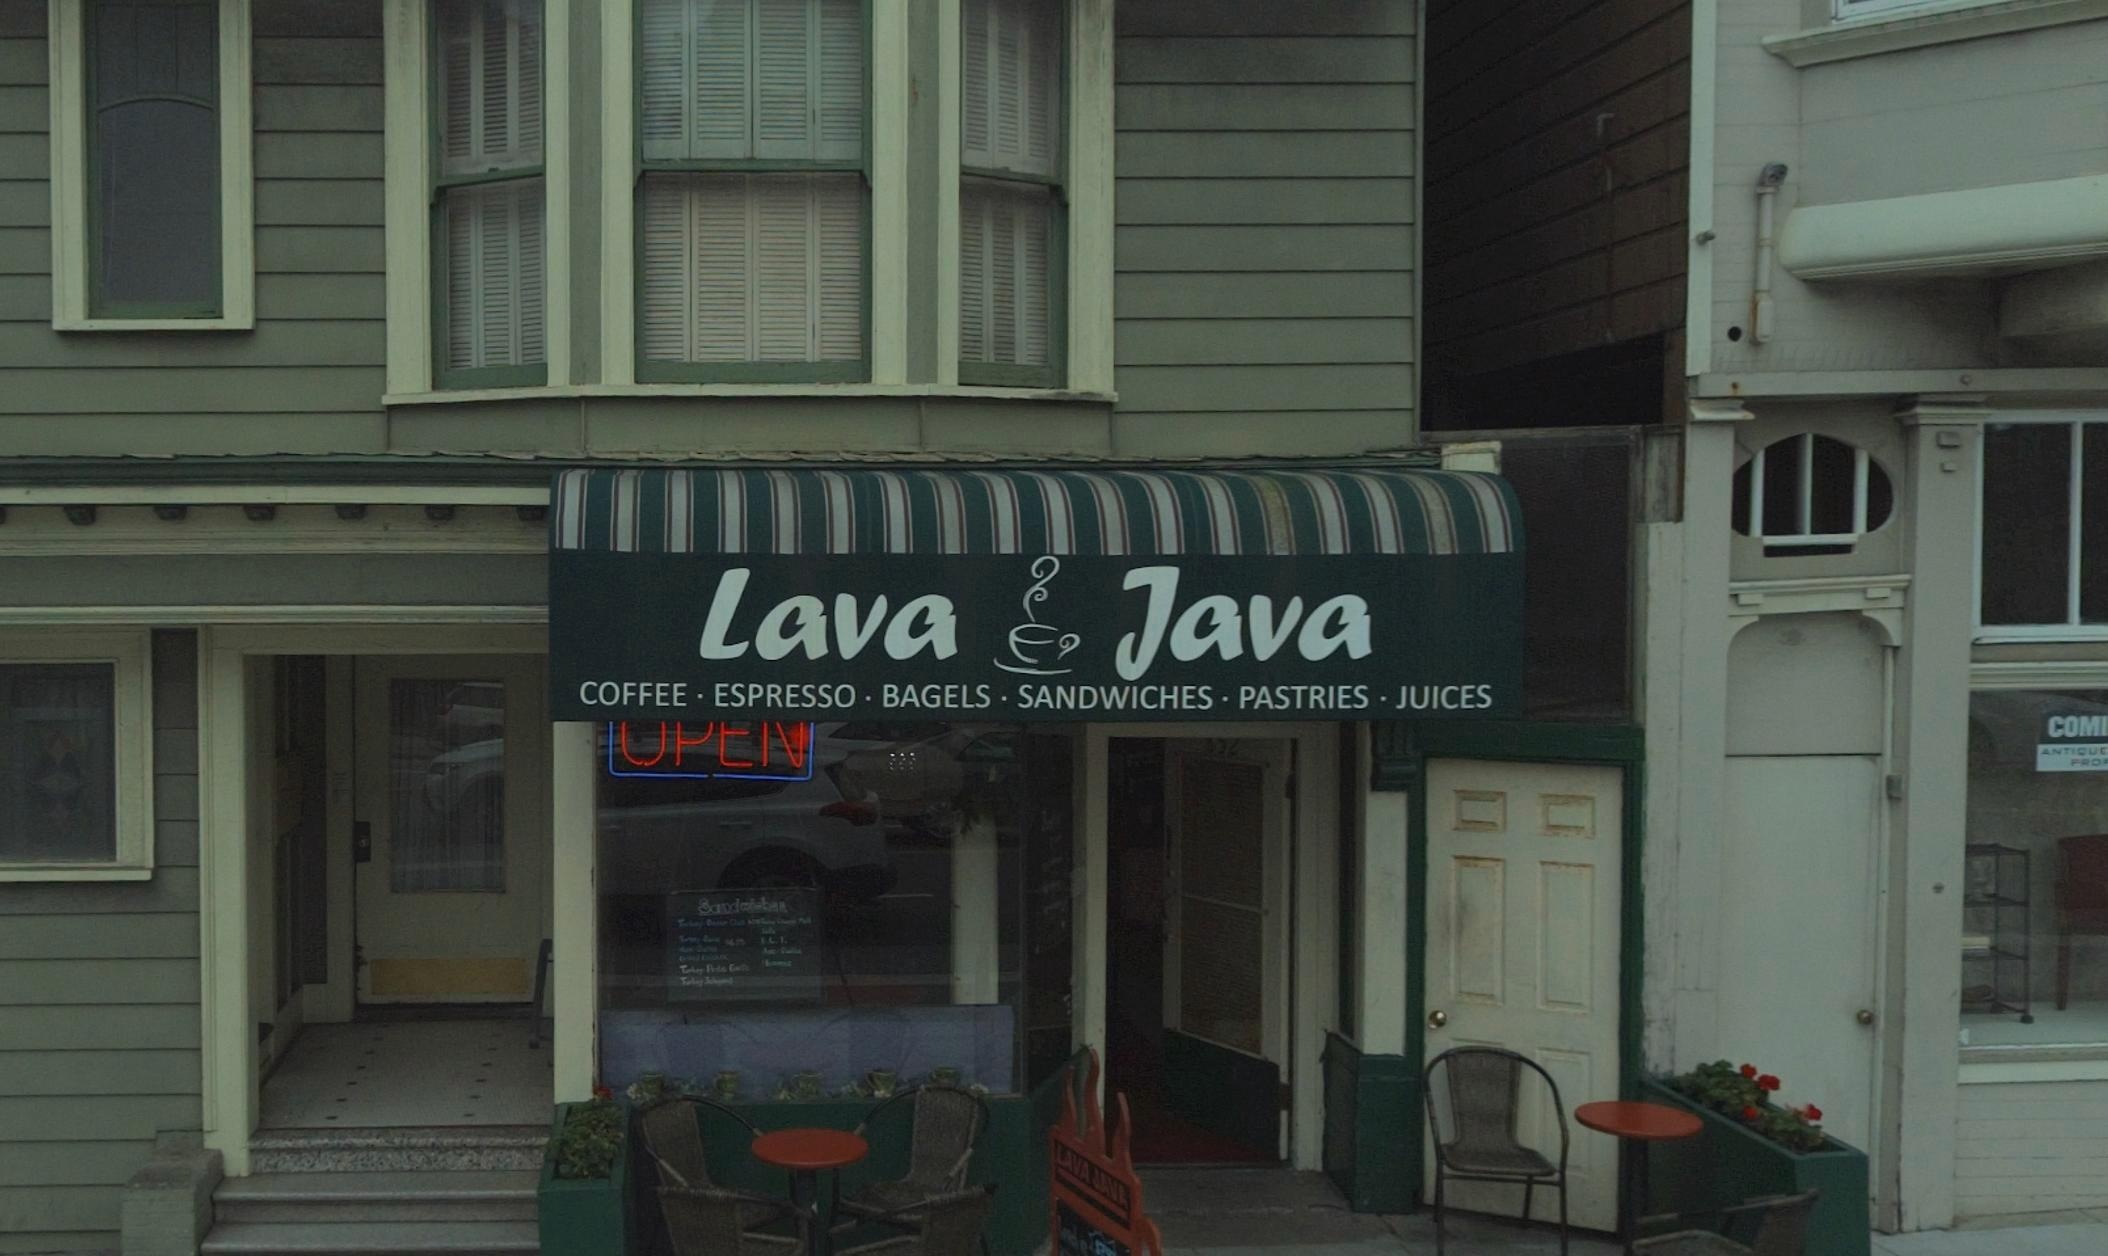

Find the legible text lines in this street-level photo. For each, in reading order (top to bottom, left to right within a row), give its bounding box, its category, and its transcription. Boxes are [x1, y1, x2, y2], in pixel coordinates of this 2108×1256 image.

[698, 563, 1377, 682] BusinessName: Lava Java
[578, 678, 1494, 712] None: COFFEE - ESPRESSO - BAGELS - SANDWICHES - PASTRIES - JUICES
[2047, 714, 2102, 739] None: COM
[2039, 746, 2107, 757] None: ANTIQUE
[2070, 757, 2103, 769] None: PRO
[1055, 1140, 1130, 1211] BusinessName: LAVE JAVA